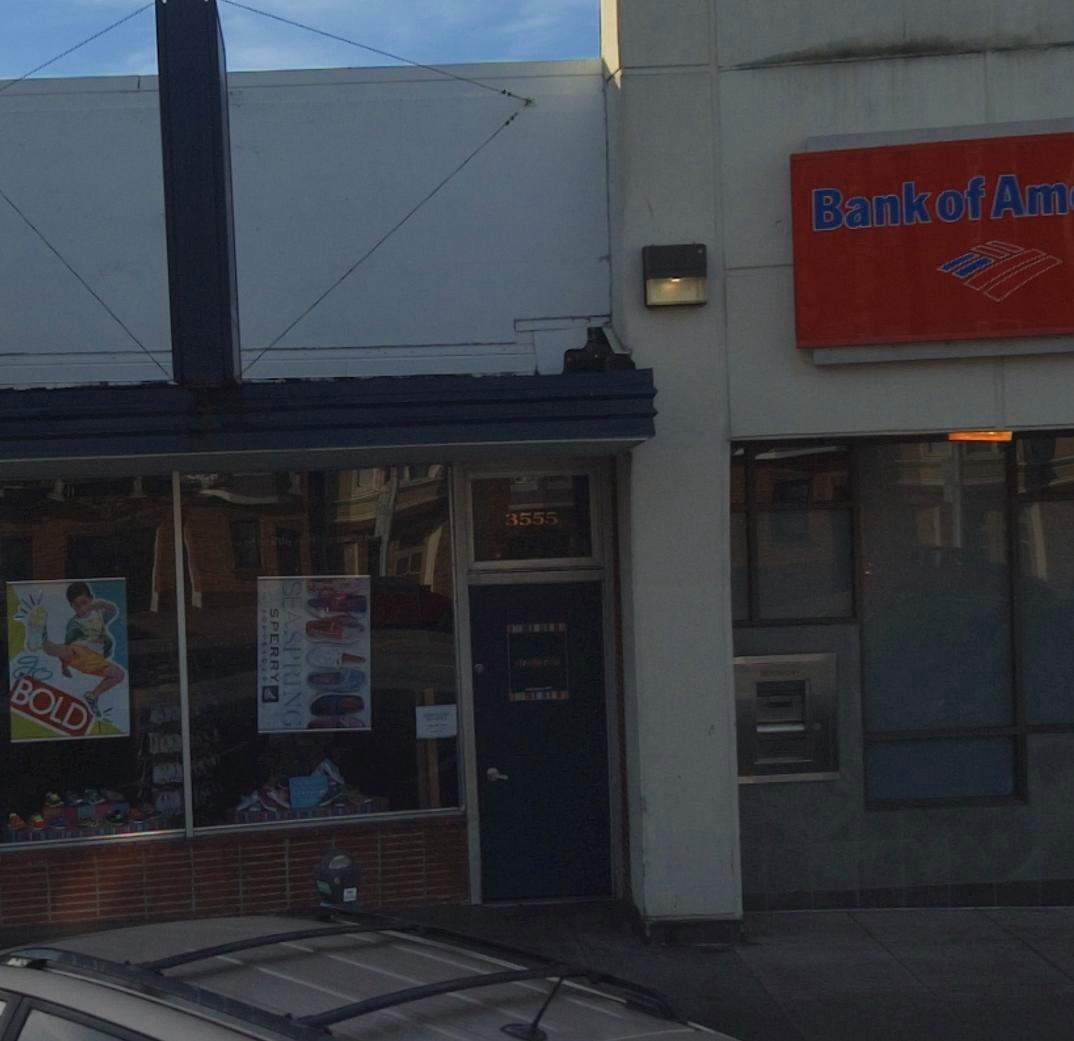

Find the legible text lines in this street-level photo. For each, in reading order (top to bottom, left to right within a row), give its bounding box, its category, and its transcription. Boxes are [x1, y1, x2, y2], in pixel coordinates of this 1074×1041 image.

[807, 169, 1073, 238] BusinessName: Bank of Am
[502, 508, 561, 528] StreetNumber: 3555
[9, 652, 58, 684] None: go
[267, 605, 281, 685] None: SPERRY
[279, 576, 306, 732] None: SEA SPRING
[6, 673, 91, 735] None: BOLD